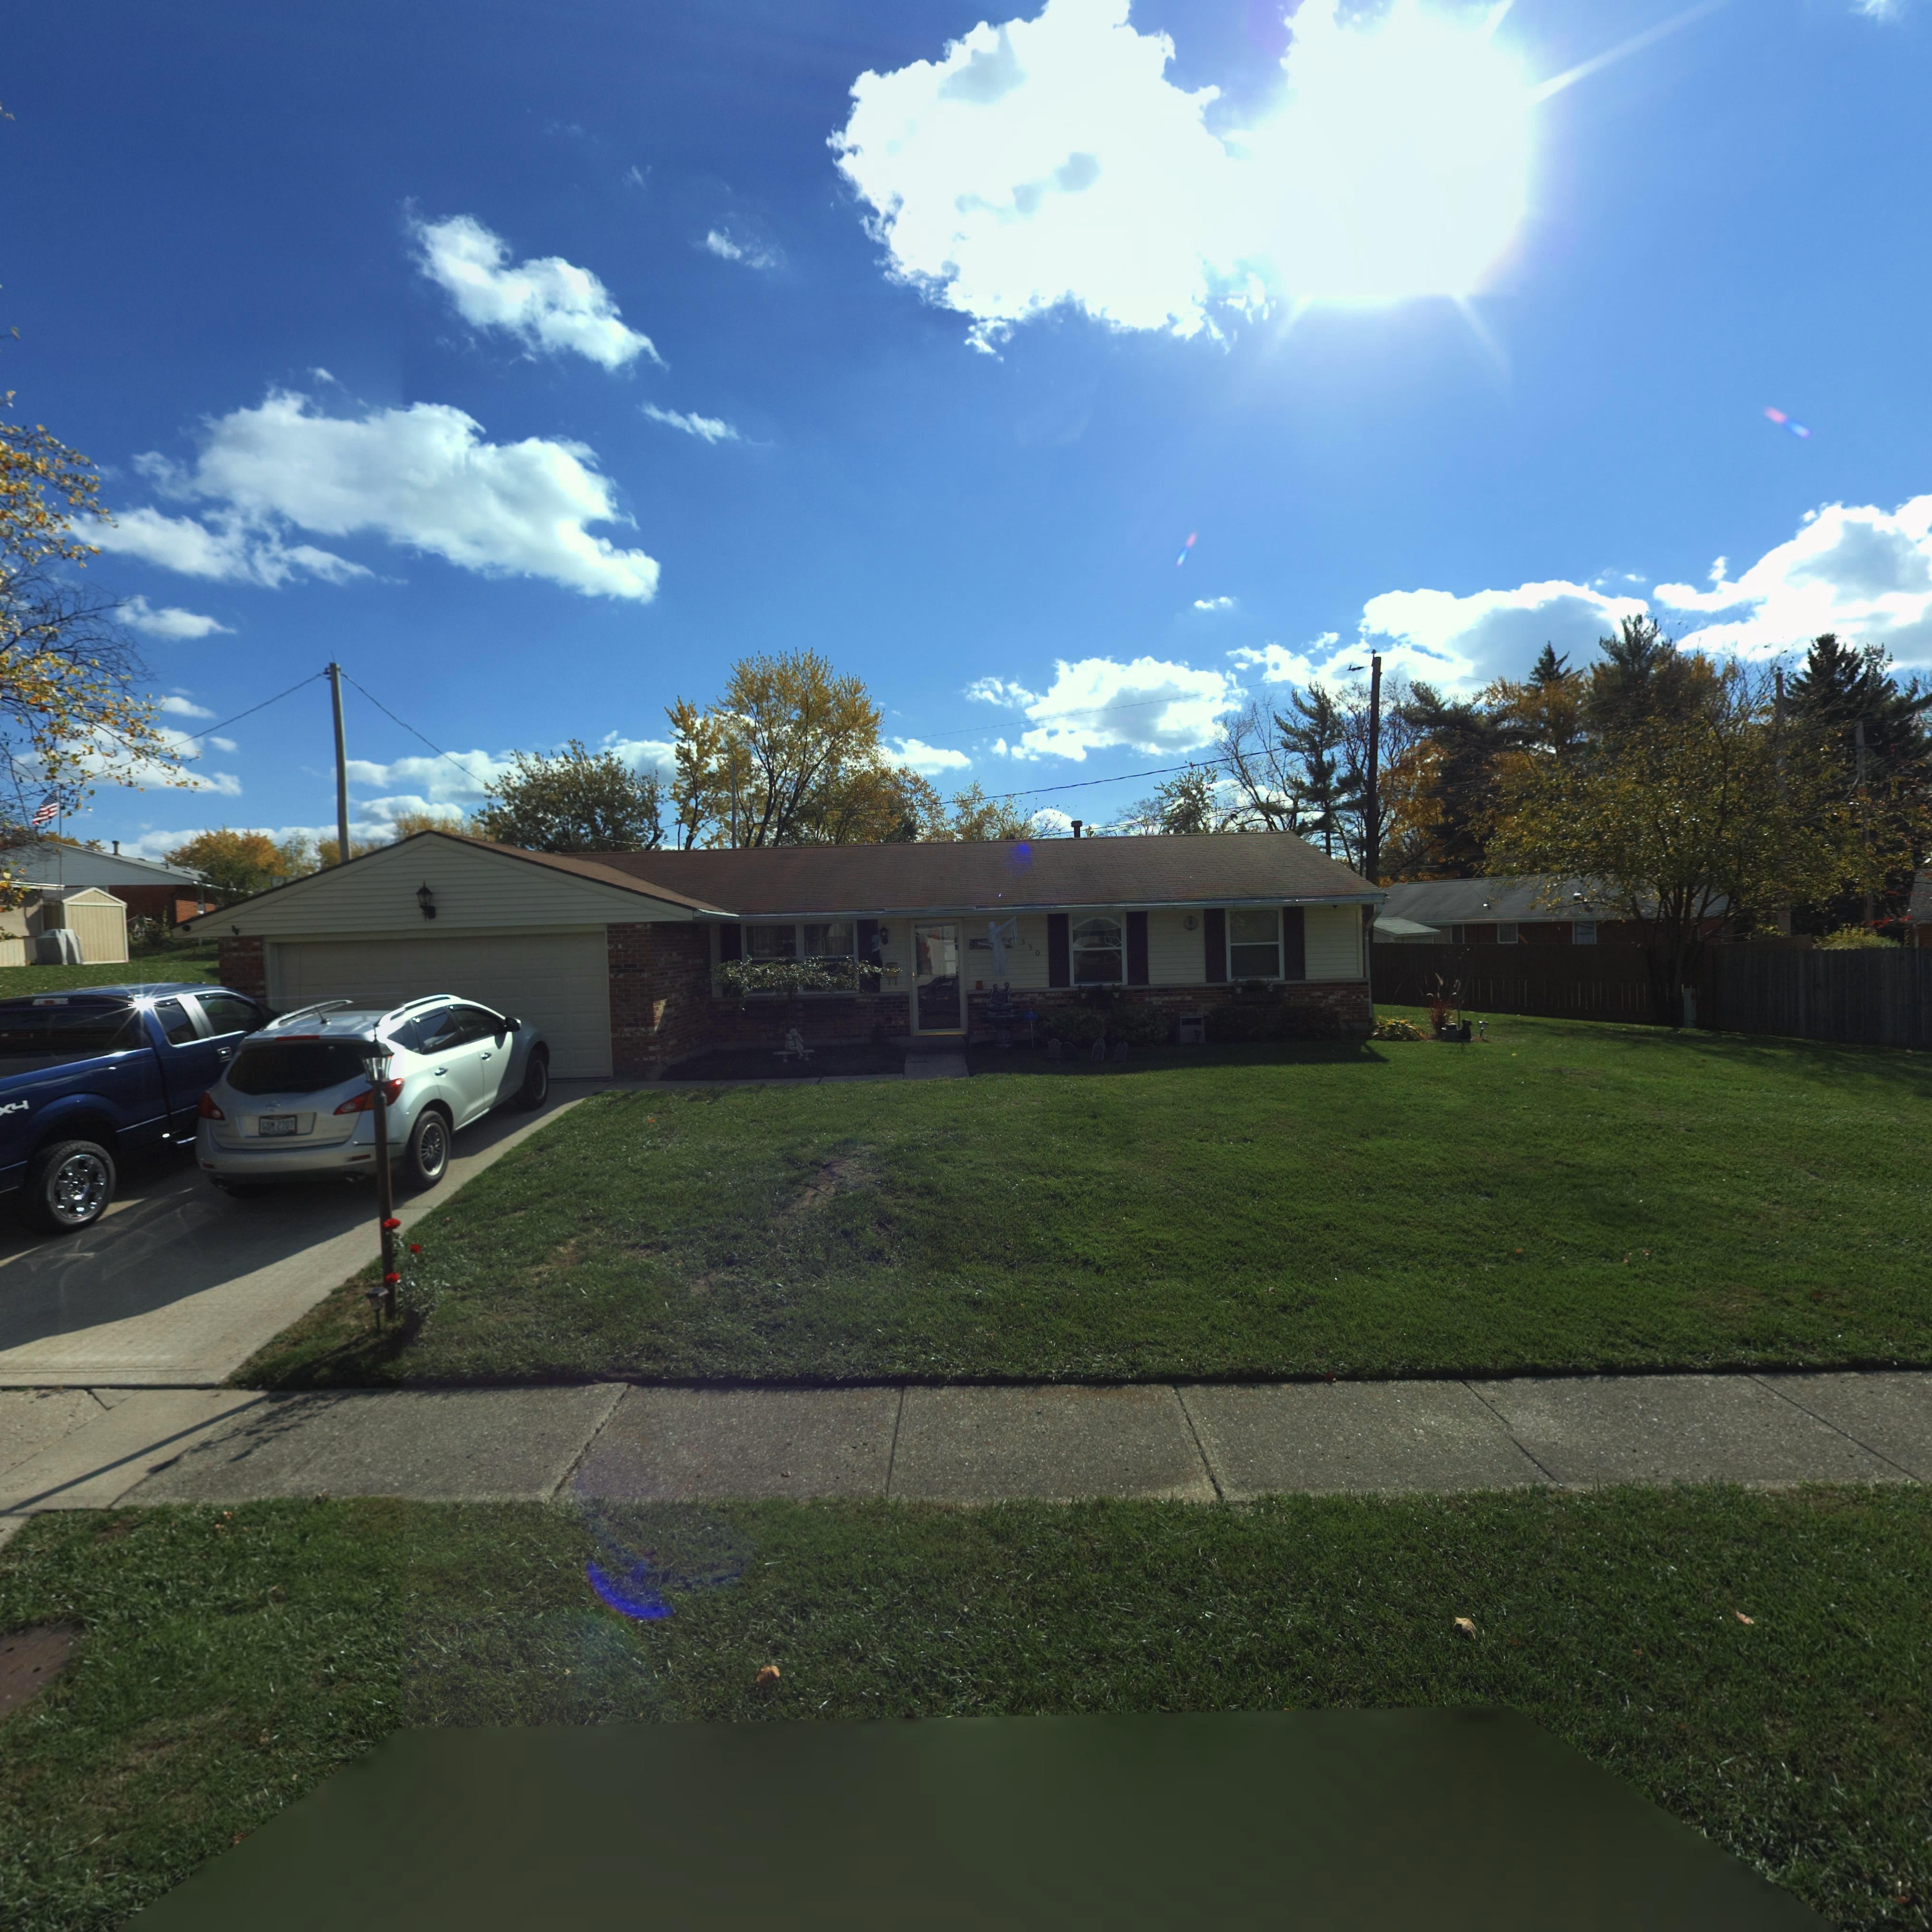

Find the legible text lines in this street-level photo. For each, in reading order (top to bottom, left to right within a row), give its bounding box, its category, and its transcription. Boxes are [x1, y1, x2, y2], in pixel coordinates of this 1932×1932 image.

[1021, 938, 1040, 956] StreetNumber: 550